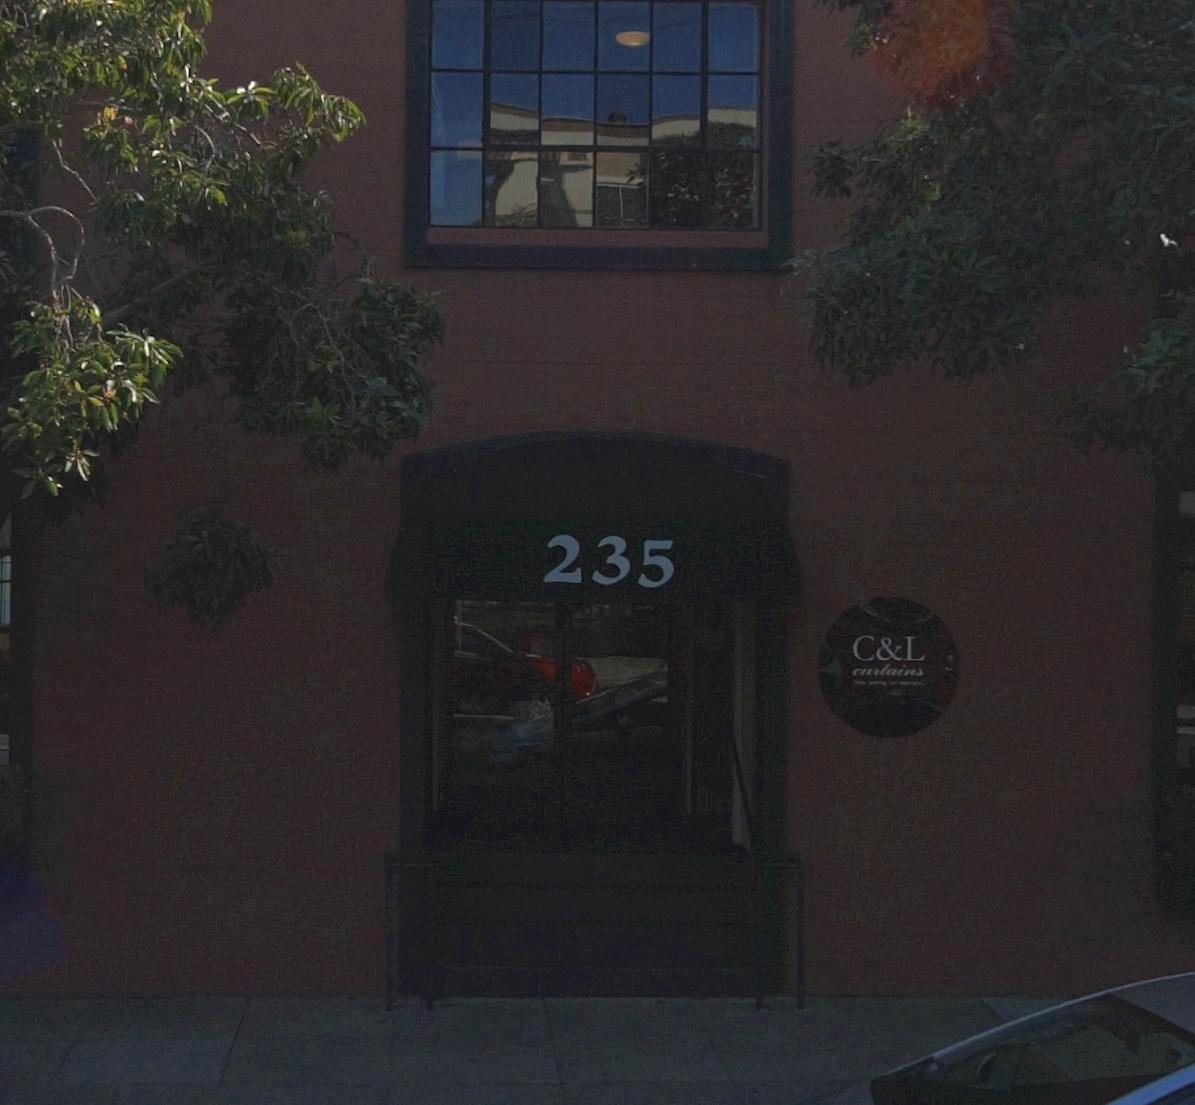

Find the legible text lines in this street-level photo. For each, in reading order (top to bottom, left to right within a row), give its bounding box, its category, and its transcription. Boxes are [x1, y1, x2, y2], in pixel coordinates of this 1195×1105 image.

[539, 529, 678, 591] StreetNumber: 235
[850, 630, 929, 664] None: C&L